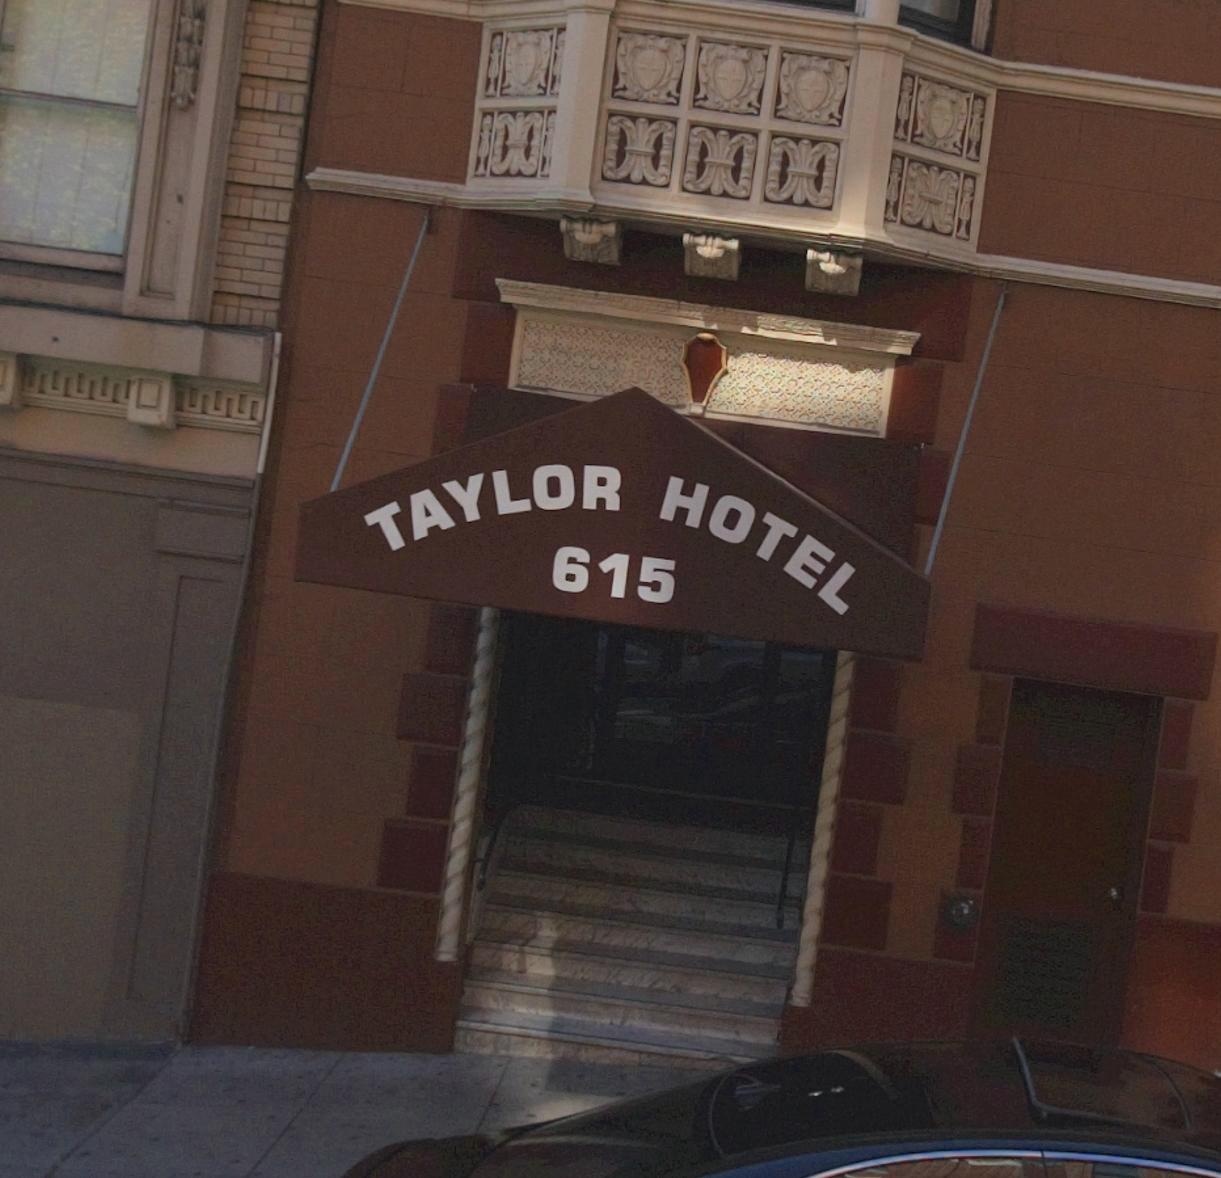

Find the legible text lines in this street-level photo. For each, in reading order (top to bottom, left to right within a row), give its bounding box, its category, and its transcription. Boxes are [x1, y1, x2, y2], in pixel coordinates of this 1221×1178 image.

[356, 458, 862, 617] BusinessName: TAYLOR HOTEL
[548, 539, 677, 613] StreetNumber: 615